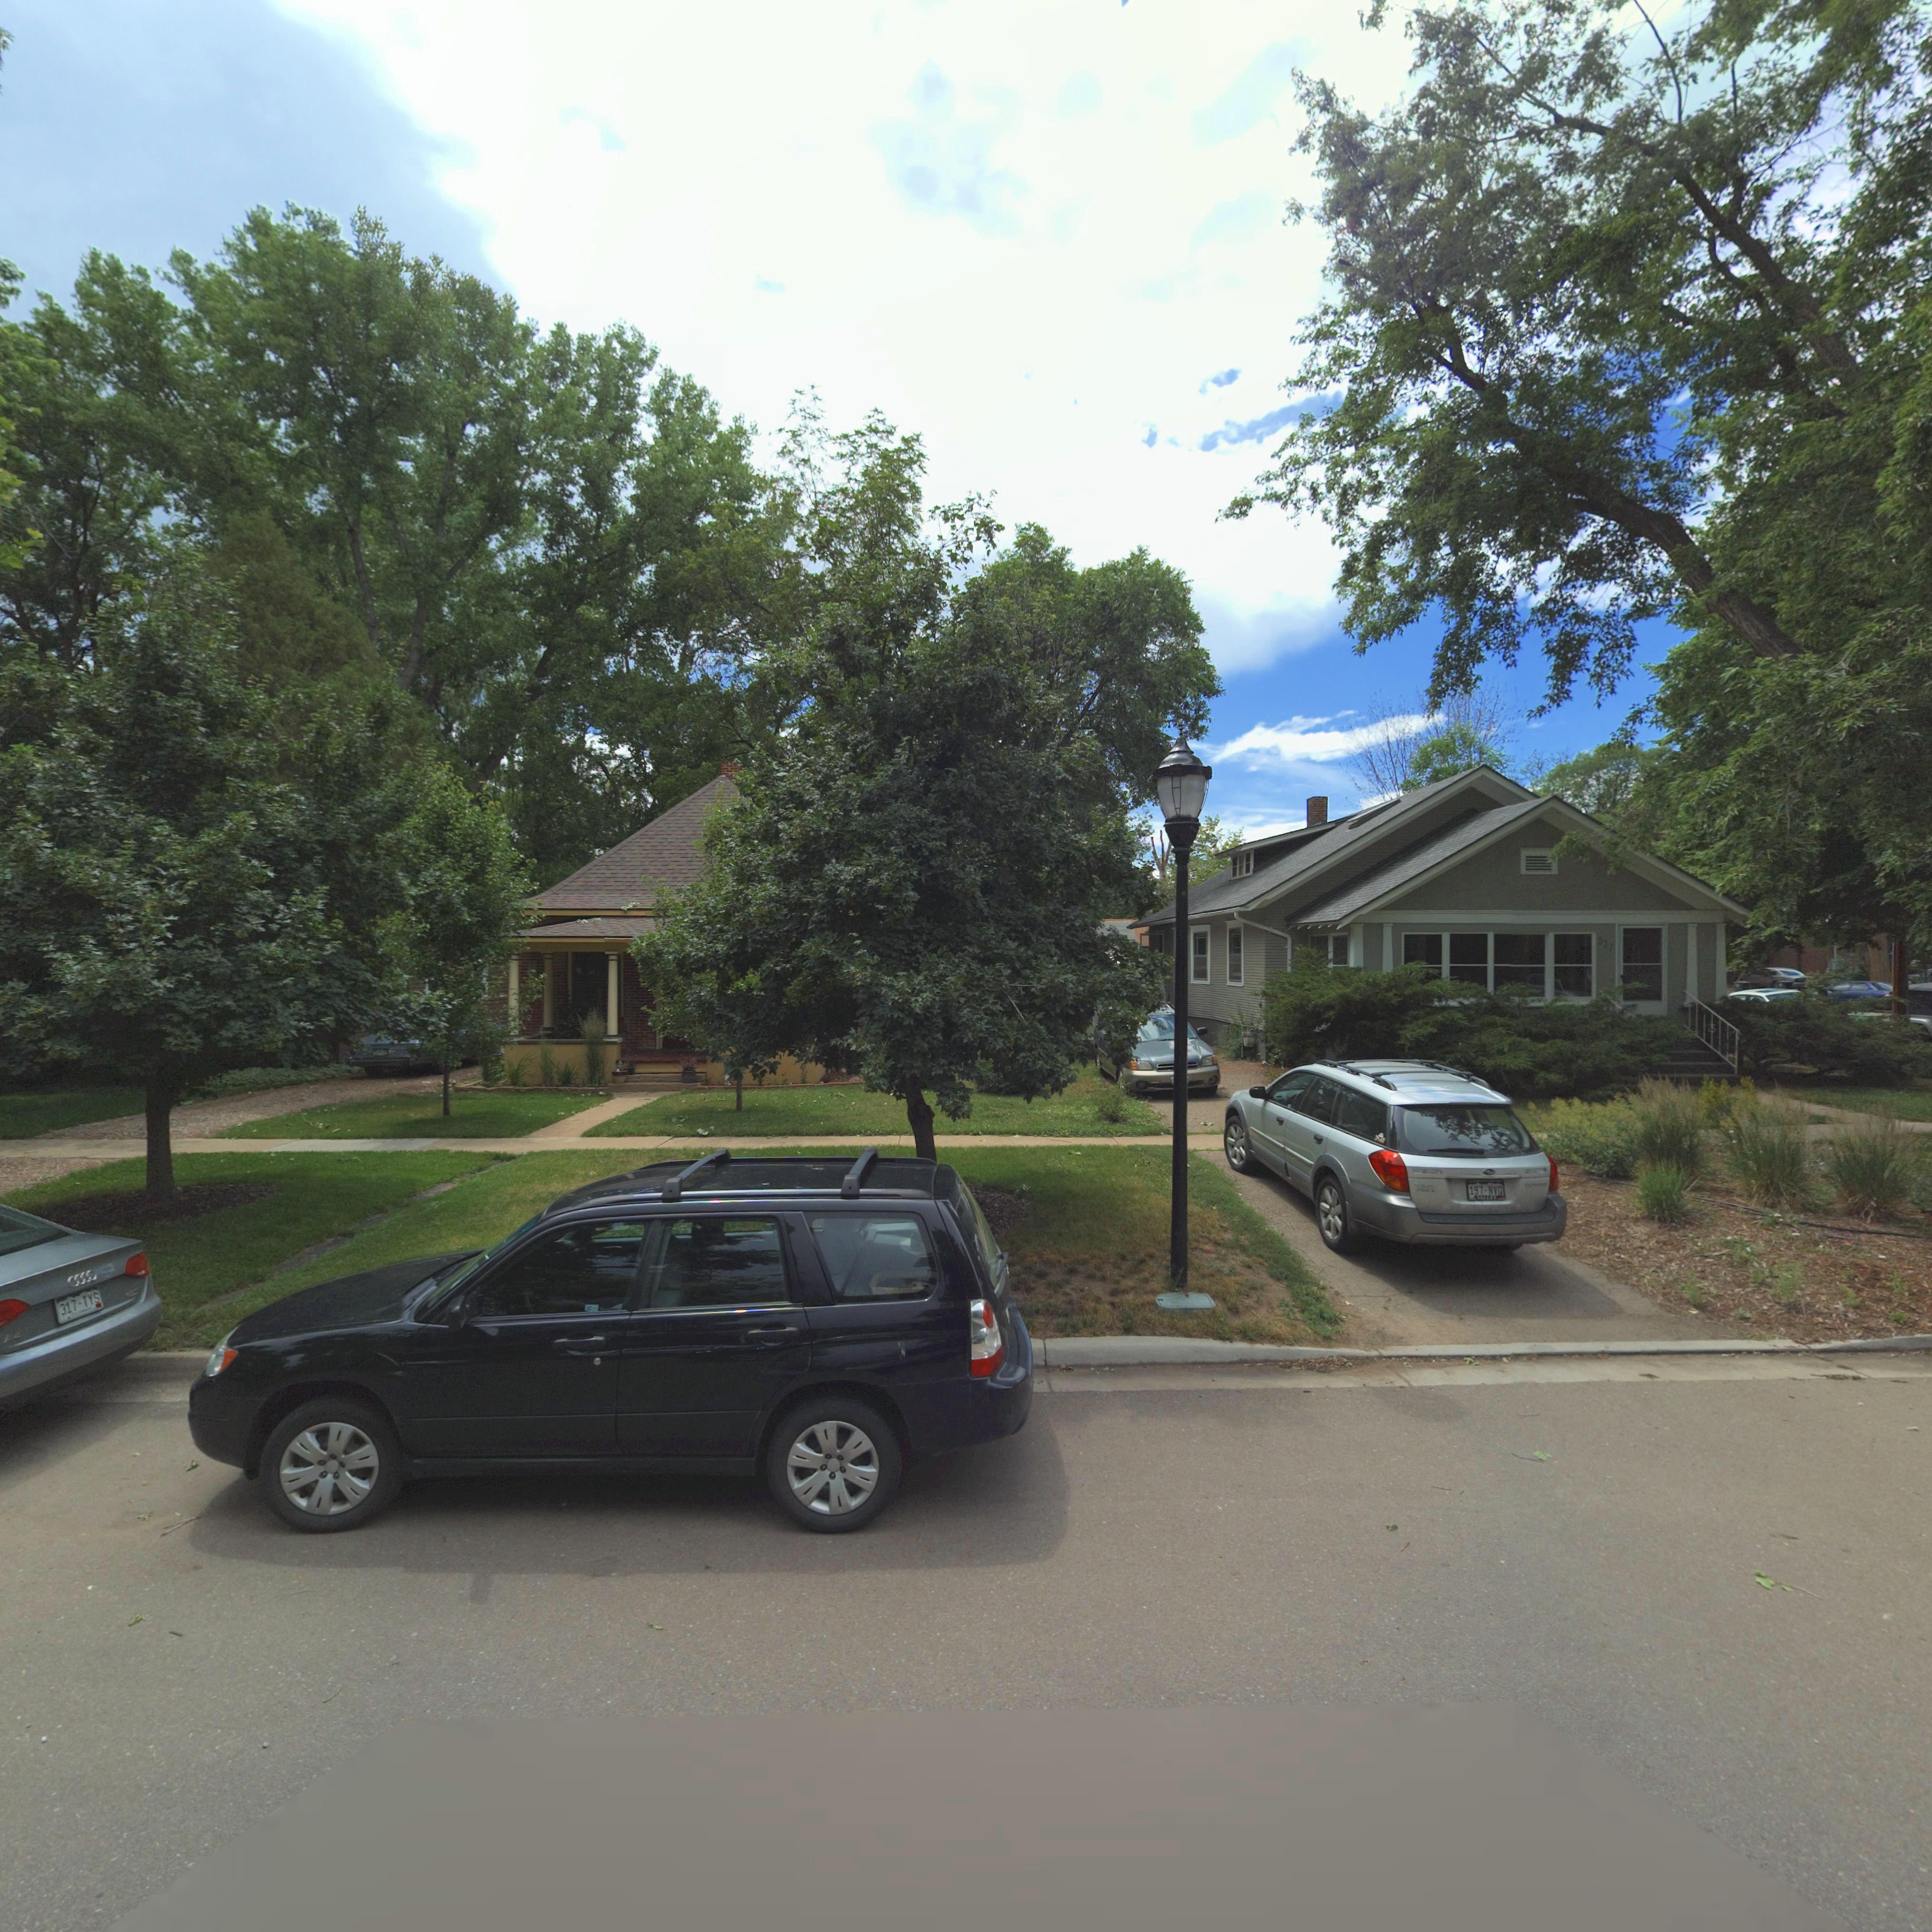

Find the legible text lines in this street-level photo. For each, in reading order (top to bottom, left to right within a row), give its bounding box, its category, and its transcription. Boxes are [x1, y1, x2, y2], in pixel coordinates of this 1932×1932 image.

[1597, 935, 1614, 952] StreetNumber: 537